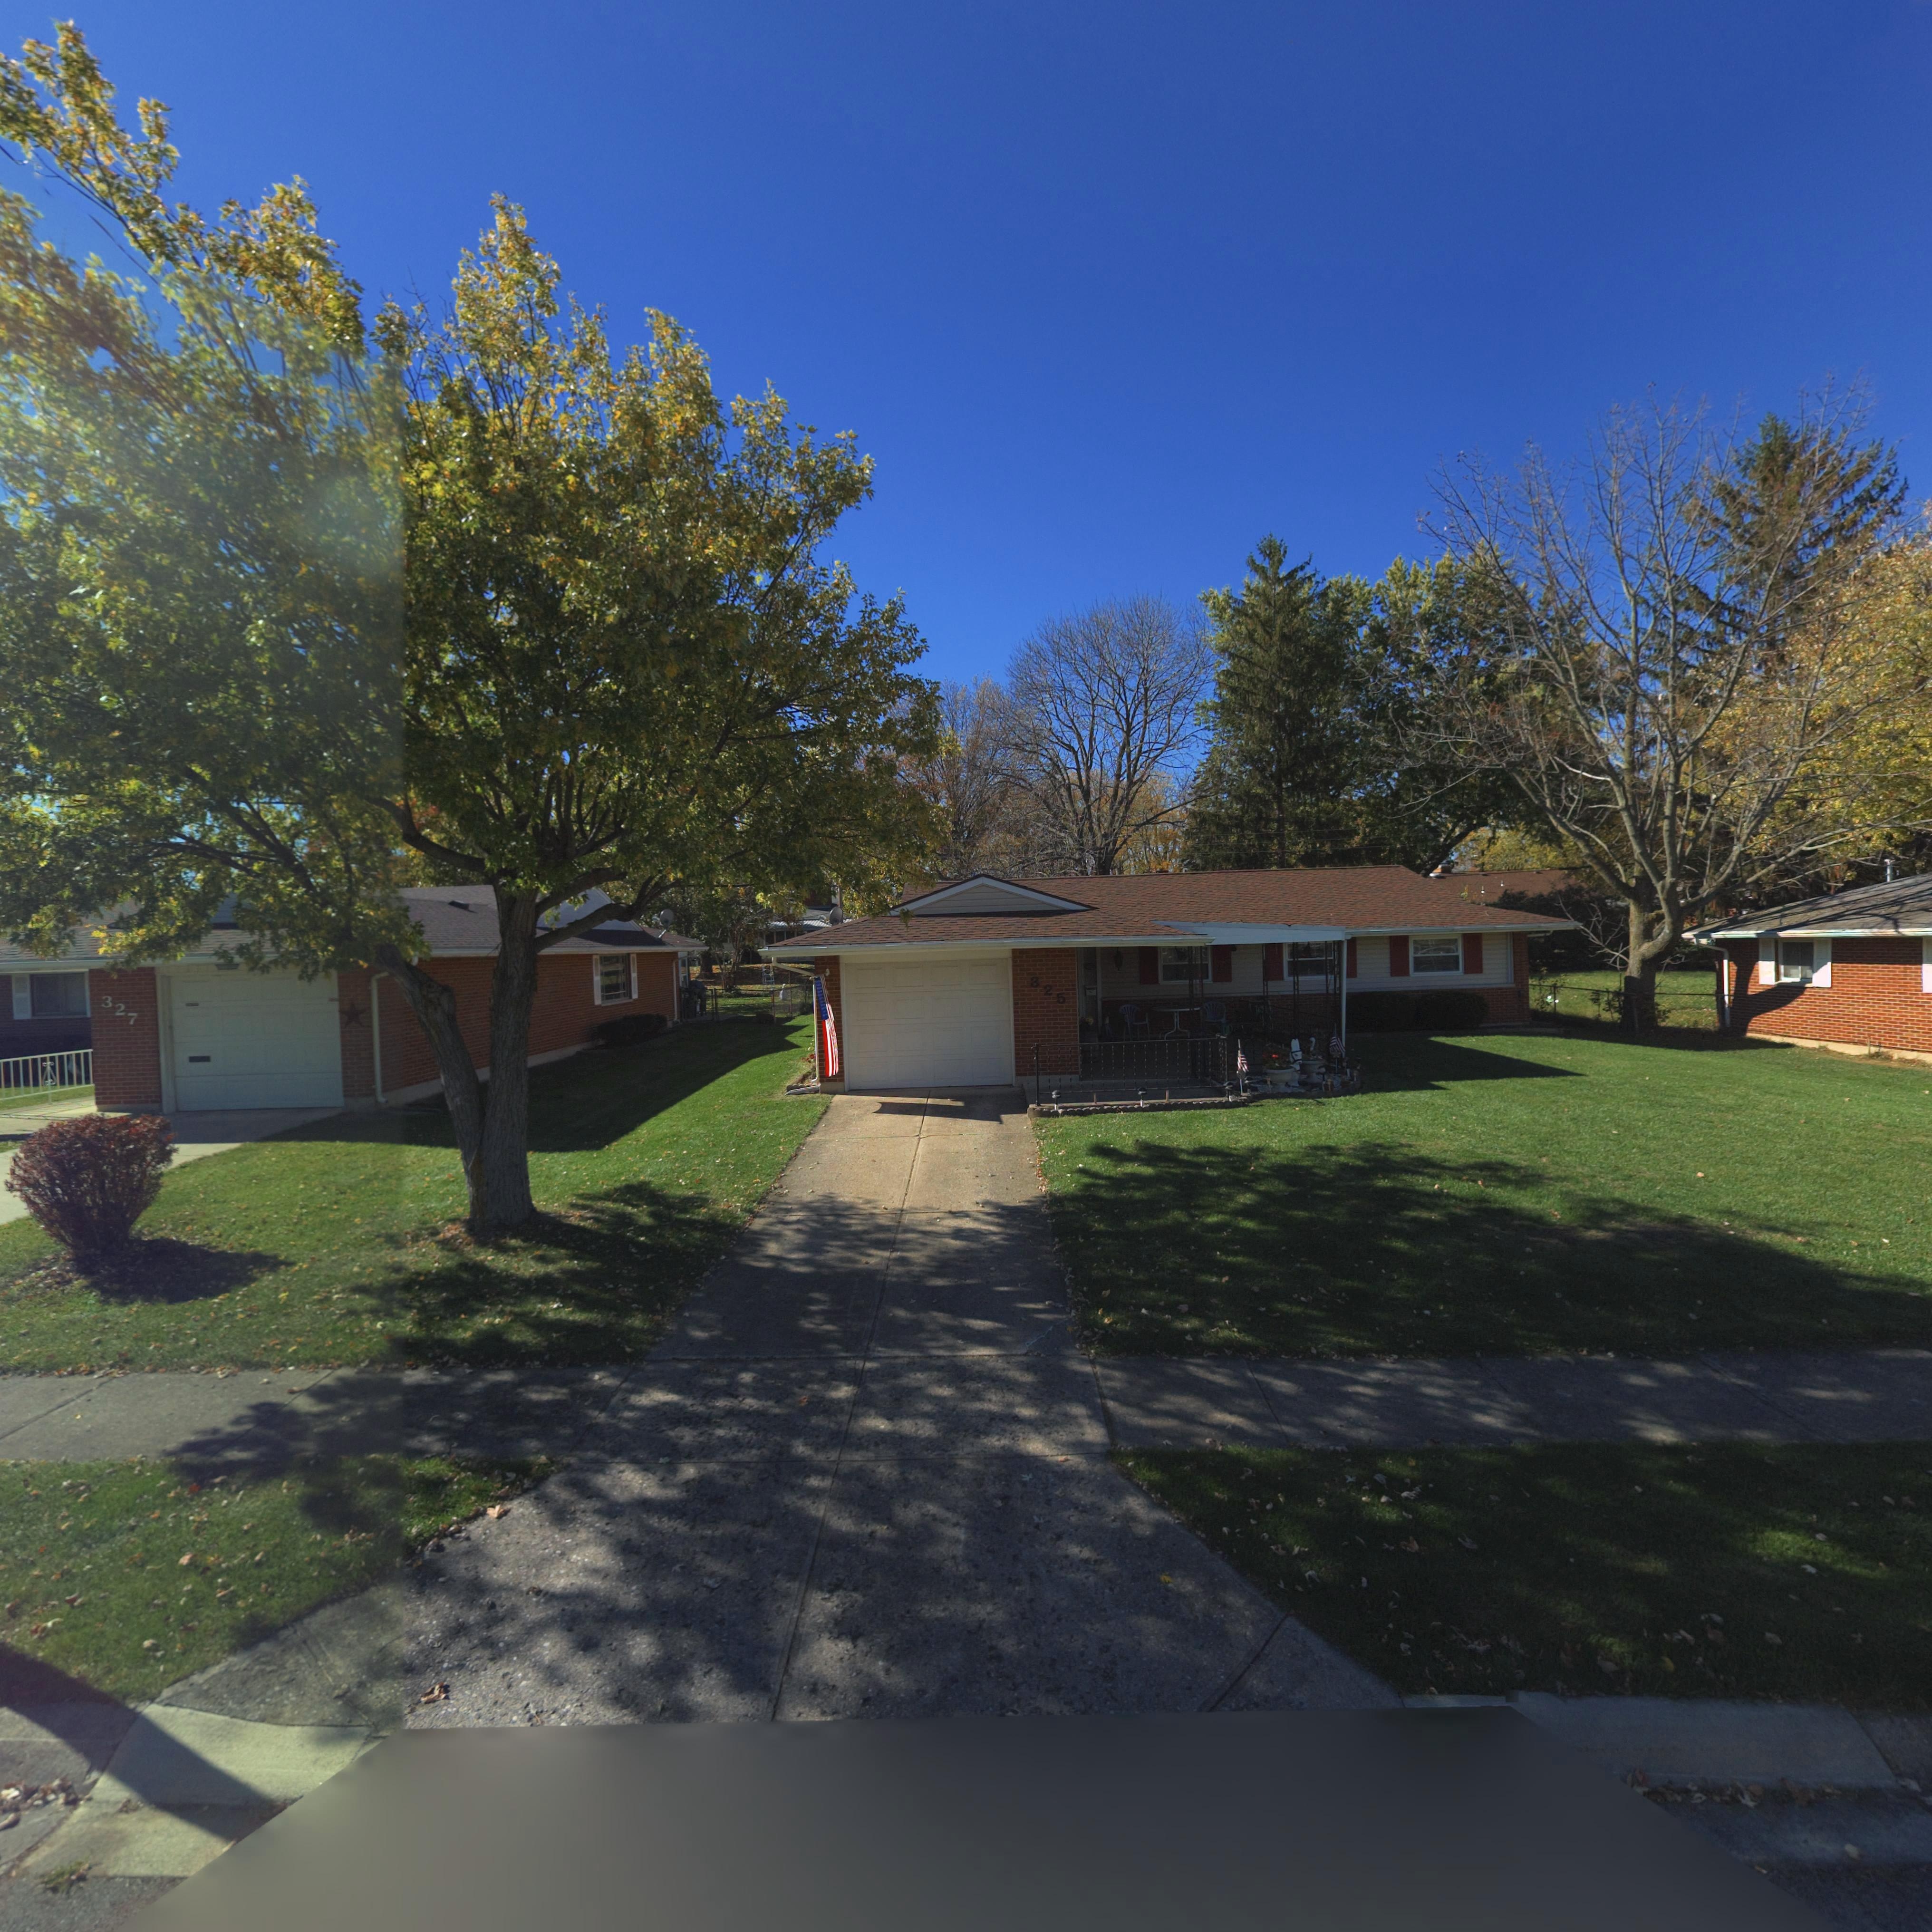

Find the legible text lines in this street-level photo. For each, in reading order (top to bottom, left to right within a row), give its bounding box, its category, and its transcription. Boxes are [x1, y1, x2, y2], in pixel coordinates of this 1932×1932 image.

[1029, 975, 1067, 1005] StreetNumber: 325
[100, 995, 139, 1026] StreetNumber: 327